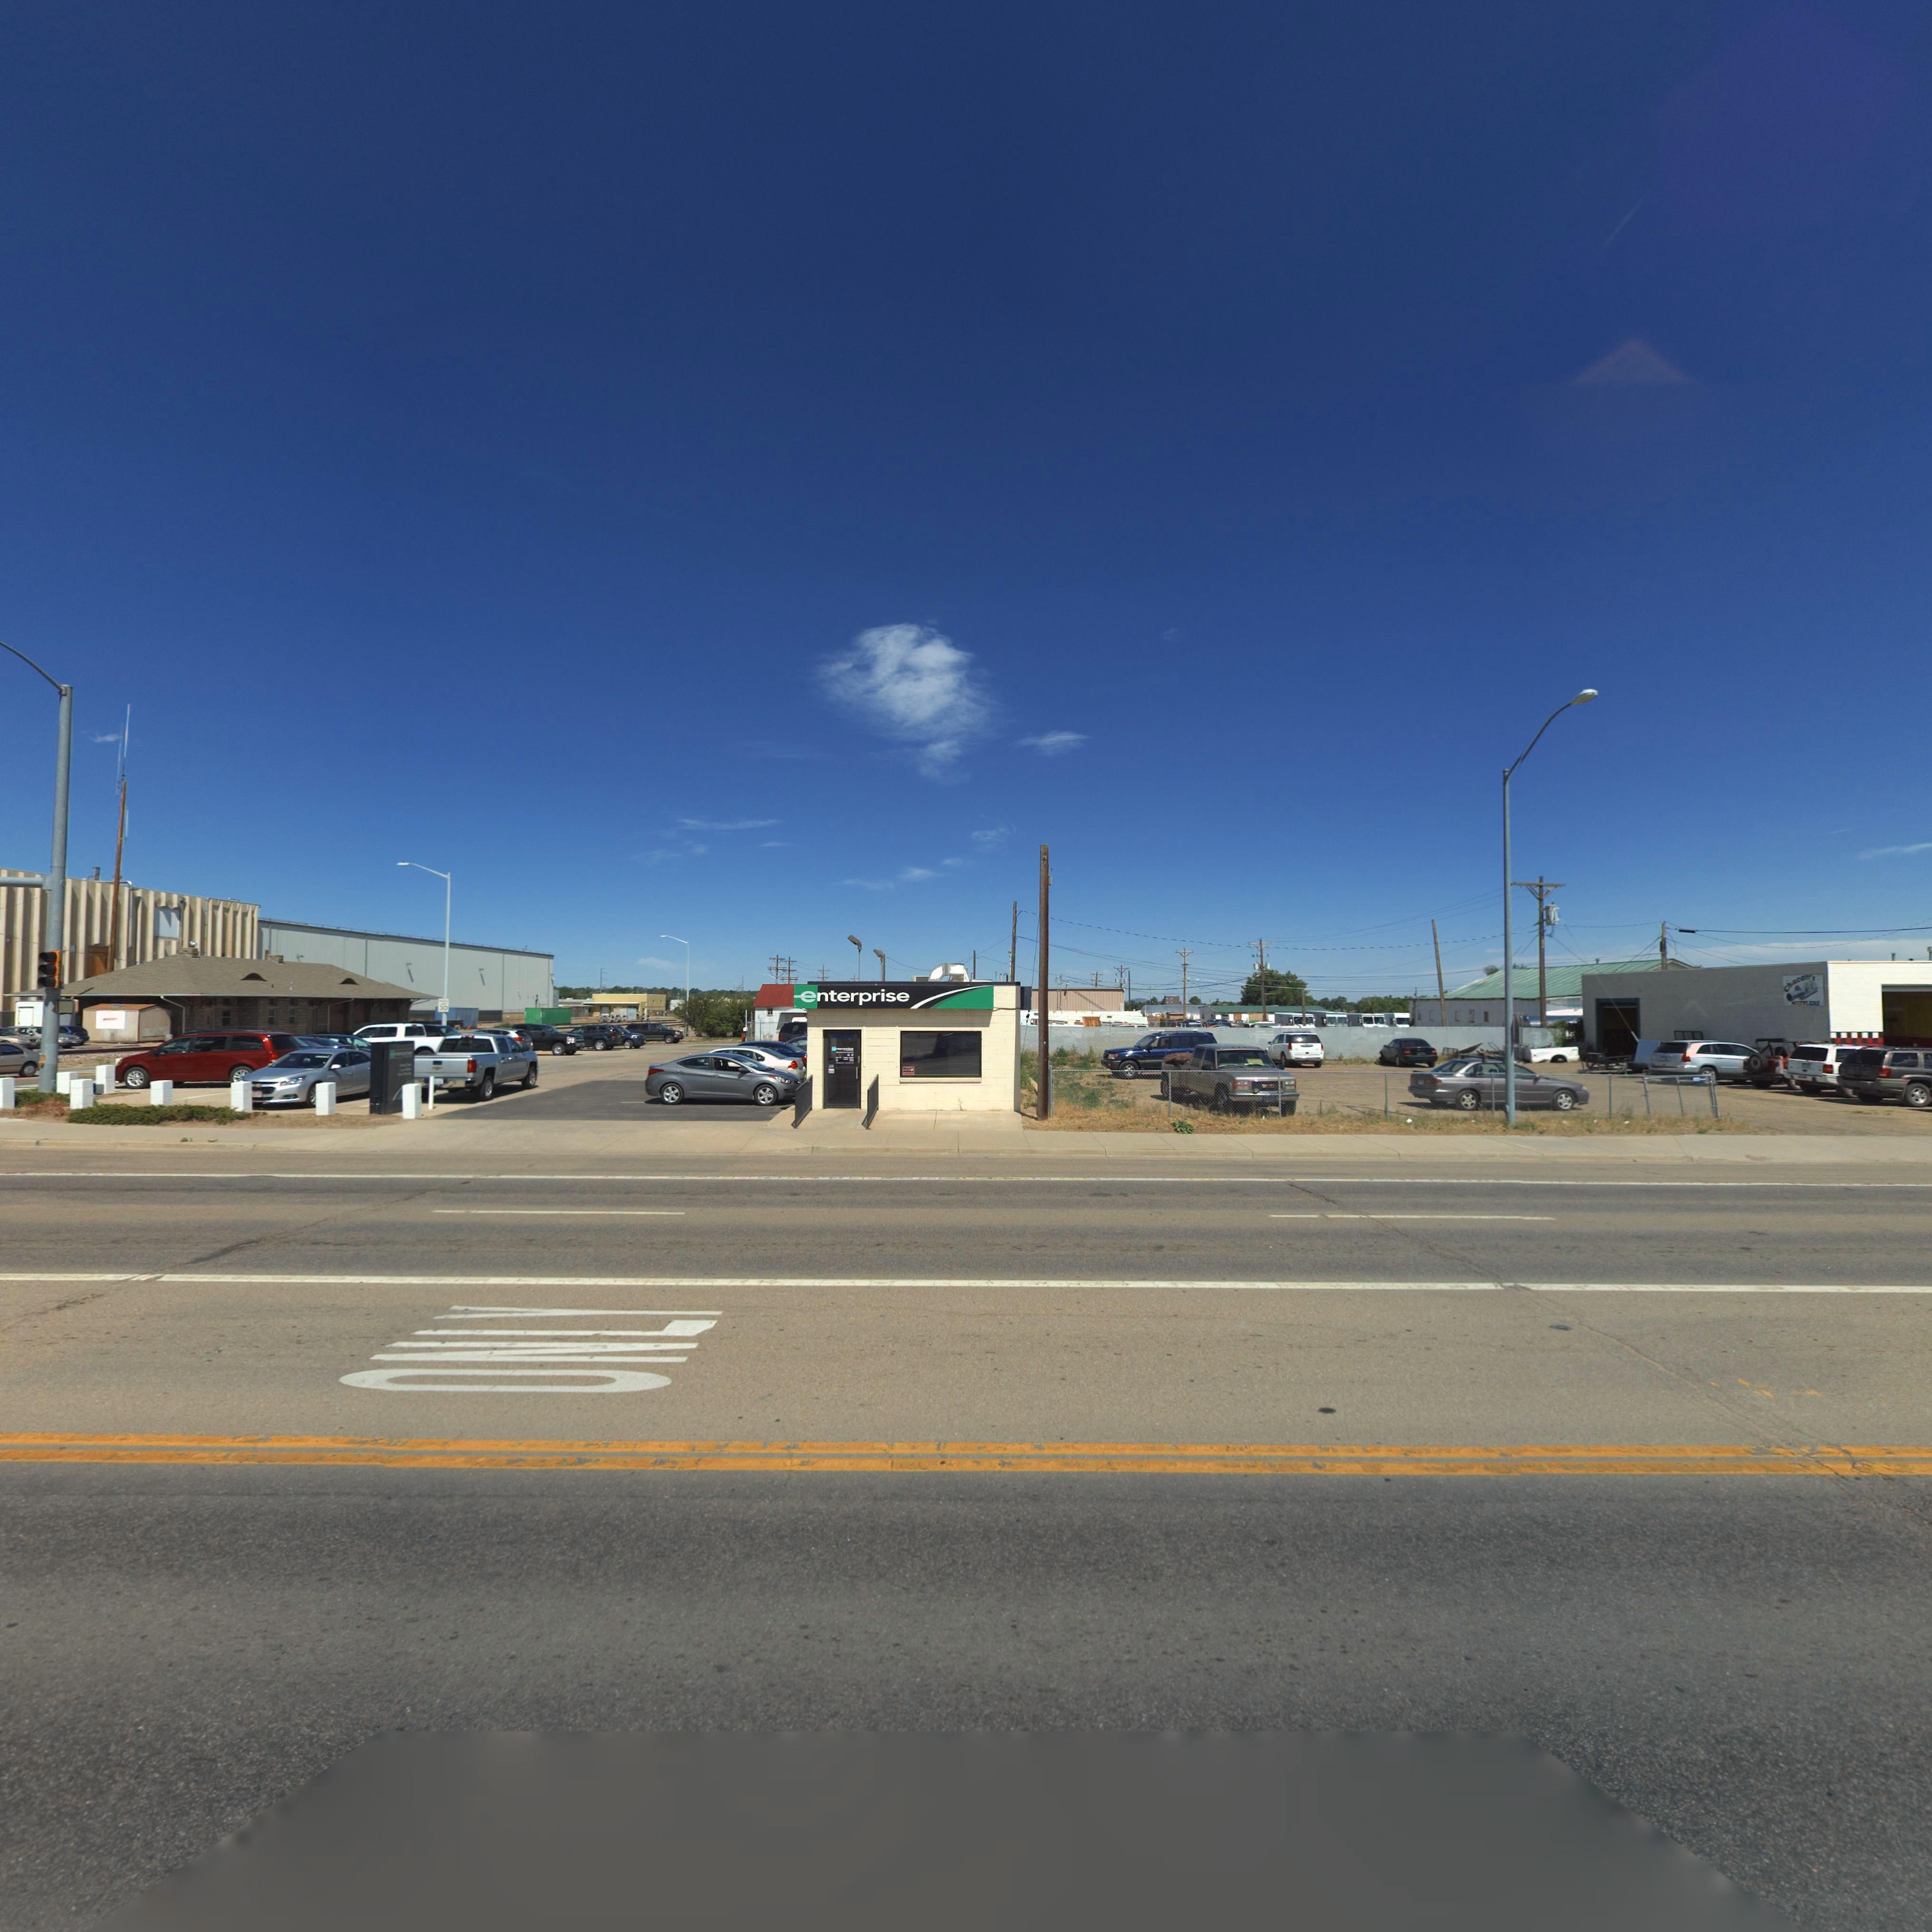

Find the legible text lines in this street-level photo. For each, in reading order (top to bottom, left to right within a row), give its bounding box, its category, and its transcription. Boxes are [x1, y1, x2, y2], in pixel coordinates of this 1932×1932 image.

[1783, 975, 1805, 993] BusinessName: Chaco
[799, 988, 910, 1006] BusinessName: enterprise
[1790, 1000, 1820, 1006] BusinessName: MUFFLERS
[835, 1047, 854, 1051] BusinessName: nterprise